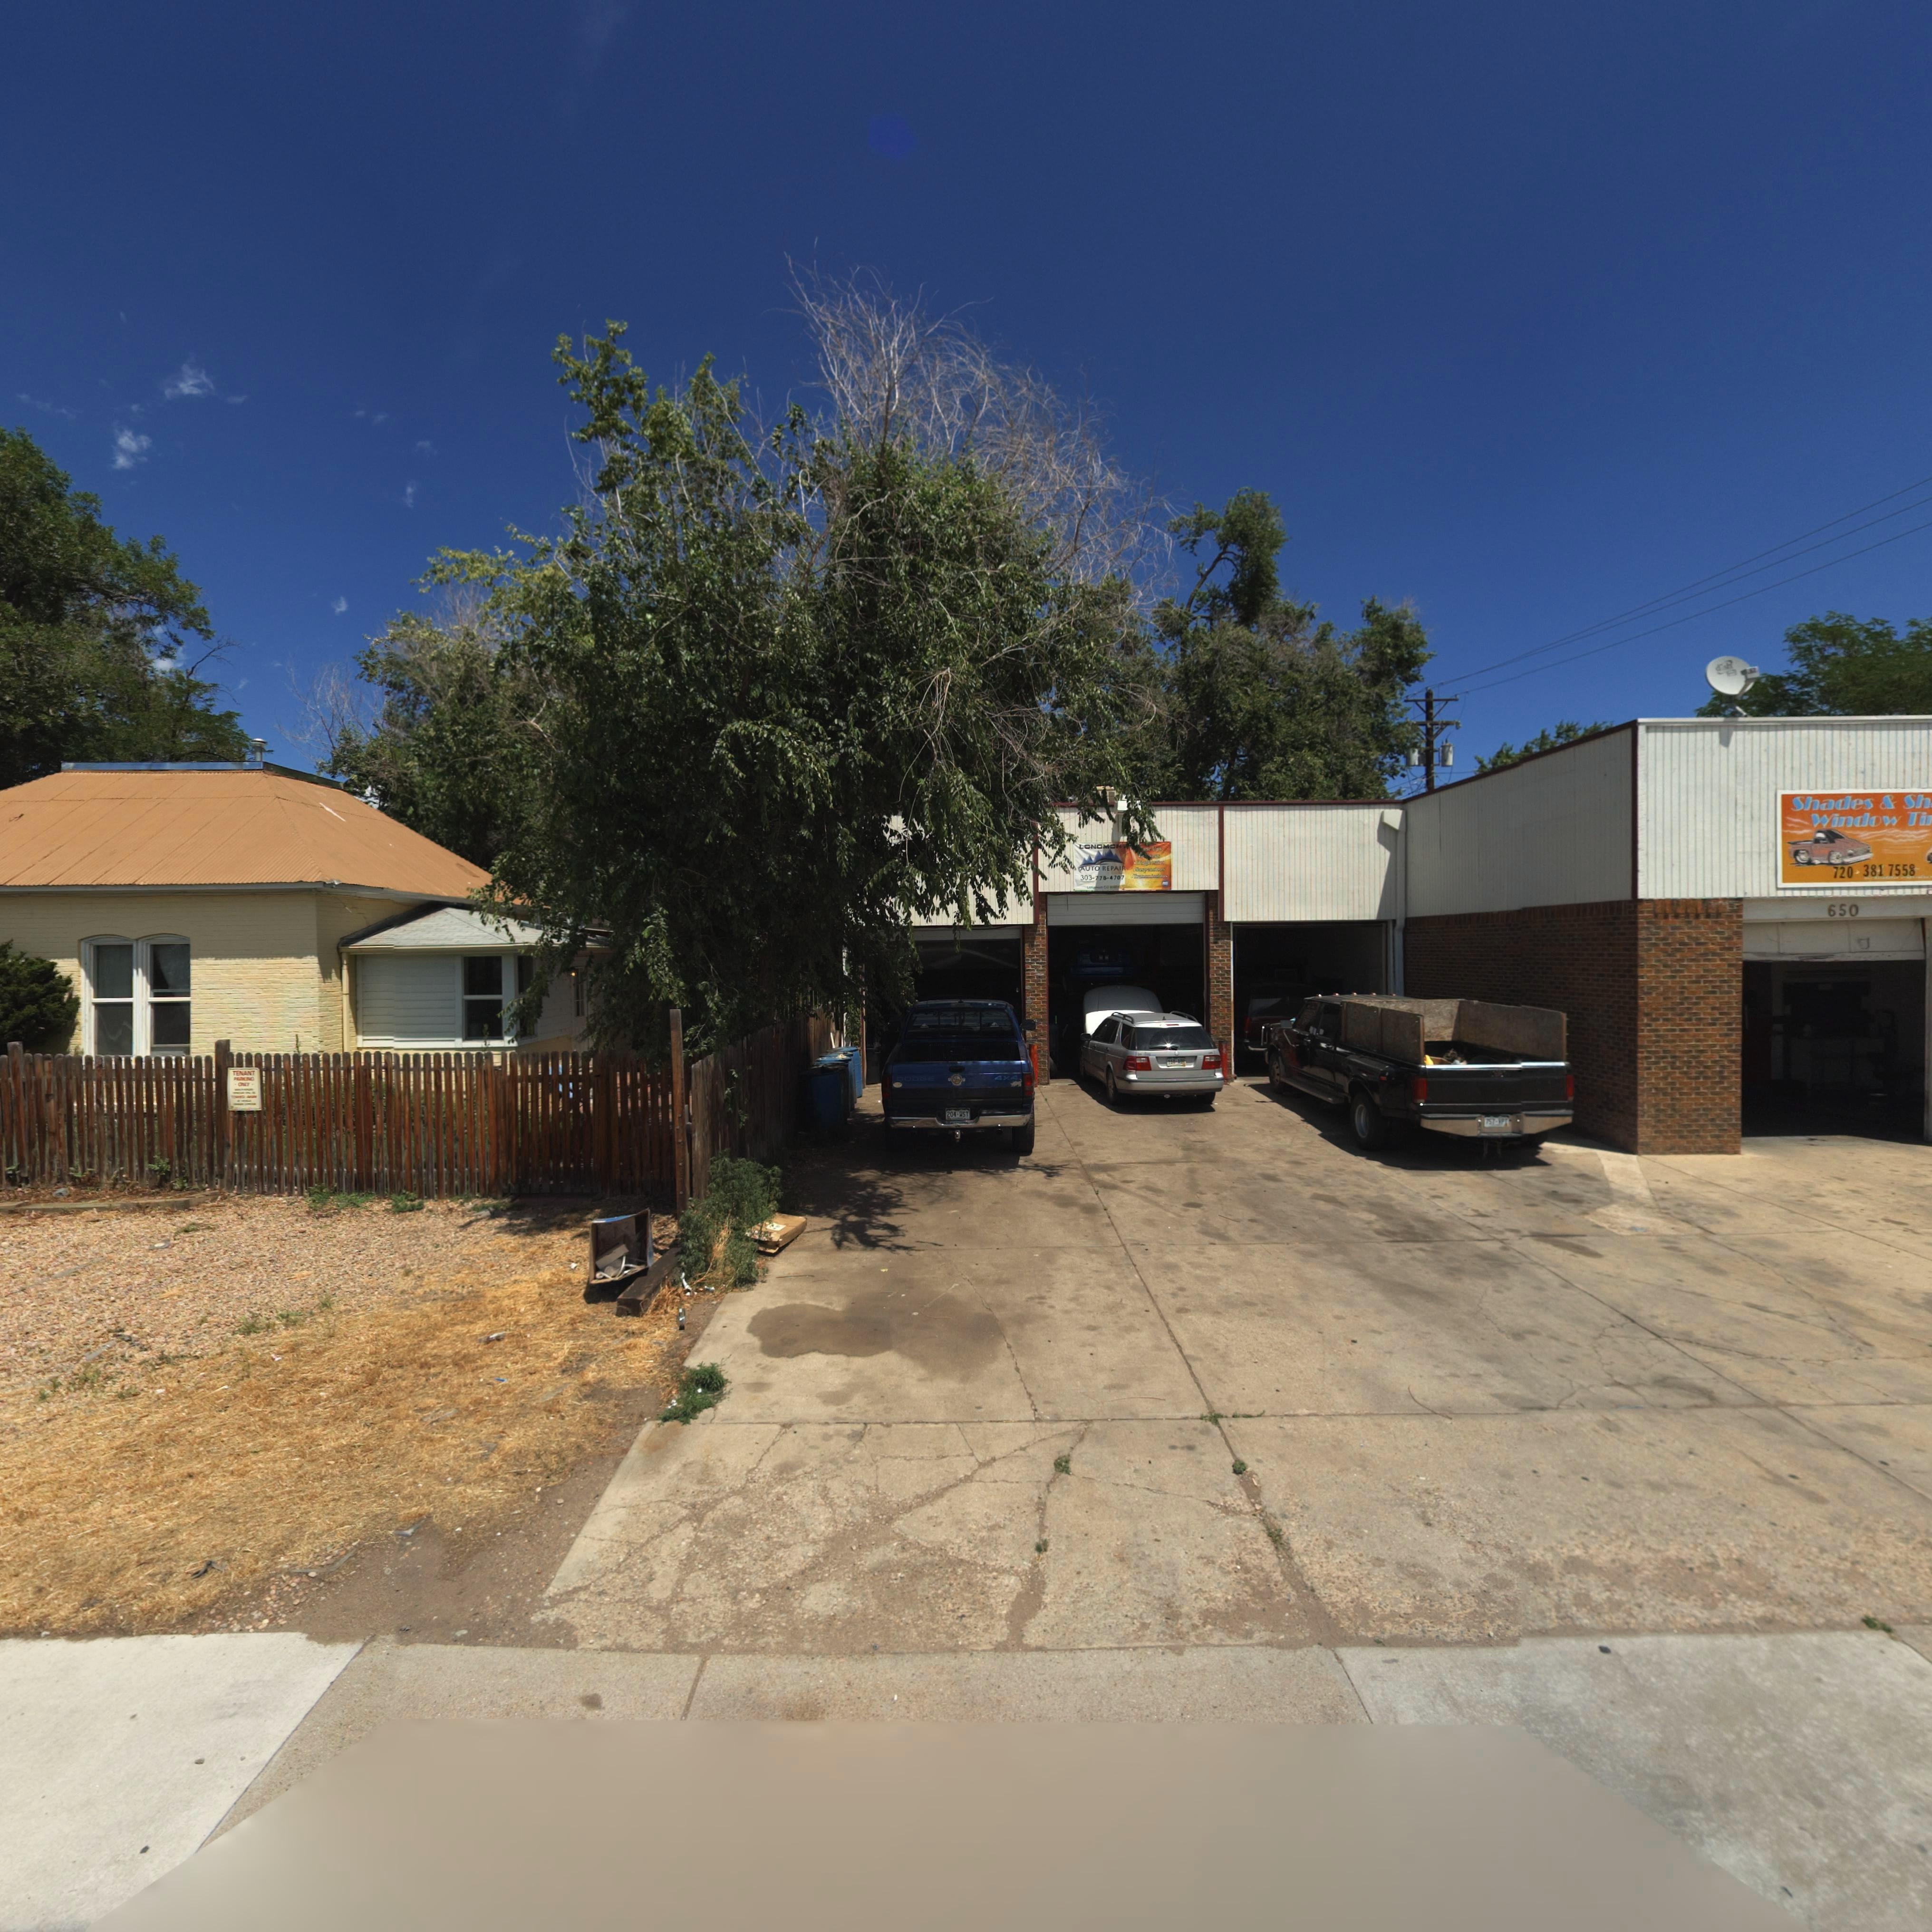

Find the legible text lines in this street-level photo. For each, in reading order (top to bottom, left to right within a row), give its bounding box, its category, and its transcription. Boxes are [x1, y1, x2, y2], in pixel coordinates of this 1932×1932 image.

[1791, 794, 1931, 811] BusinessName: Shades & Sh
[1827, 903, 1859, 917] StreetNumber: 650